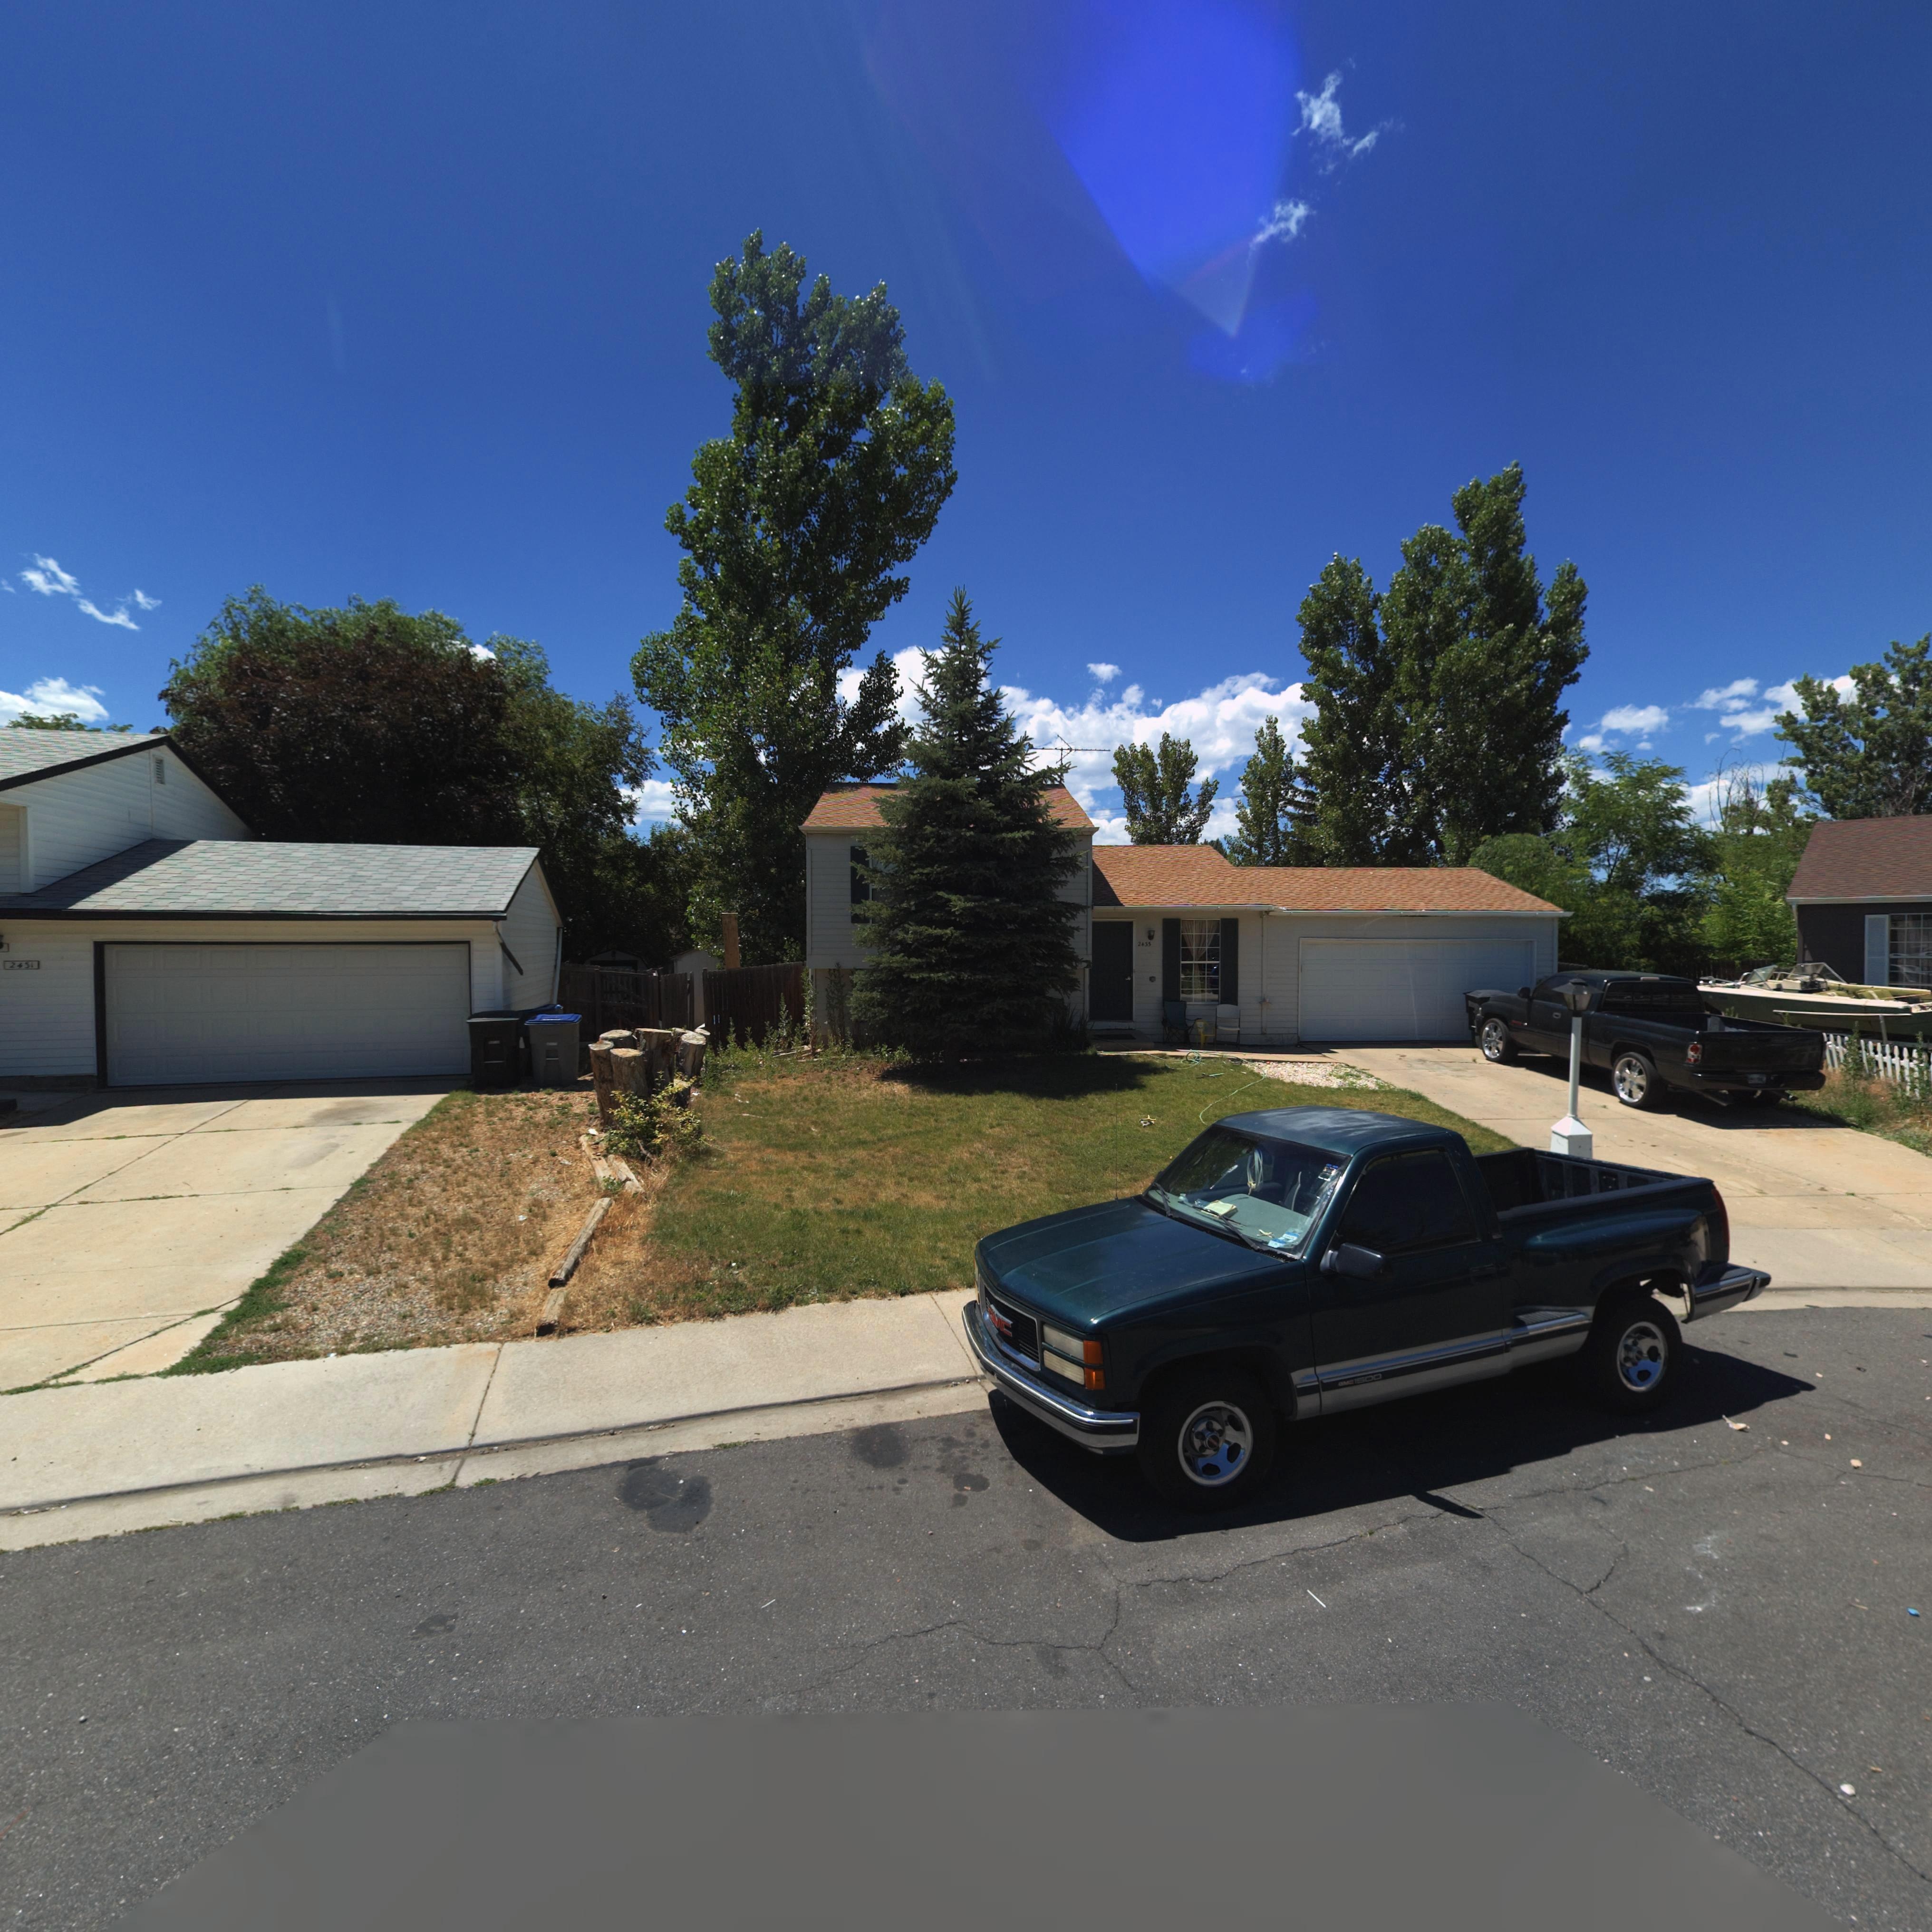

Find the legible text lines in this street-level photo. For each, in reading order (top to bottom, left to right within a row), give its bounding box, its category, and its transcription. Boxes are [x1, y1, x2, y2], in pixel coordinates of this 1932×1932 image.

[1137, 941, 1151, 947] StreetNumber: 2435
[10, 961, 33, 968] StreetNumber: 2431